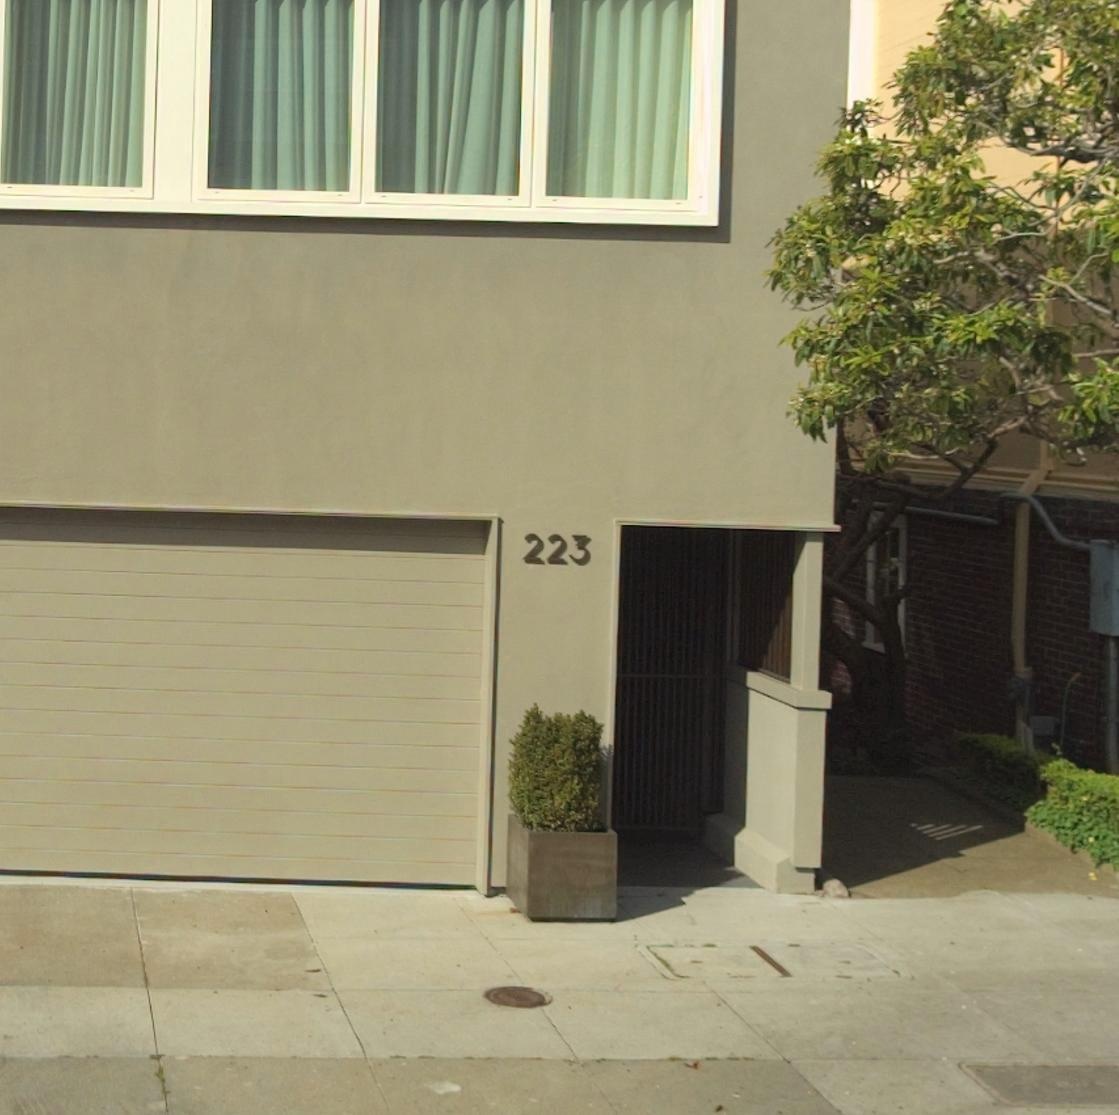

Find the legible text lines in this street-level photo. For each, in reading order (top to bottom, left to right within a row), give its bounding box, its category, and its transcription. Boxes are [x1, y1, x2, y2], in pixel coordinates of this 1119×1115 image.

[522, 531, 592, 566] StreetNumber: 223